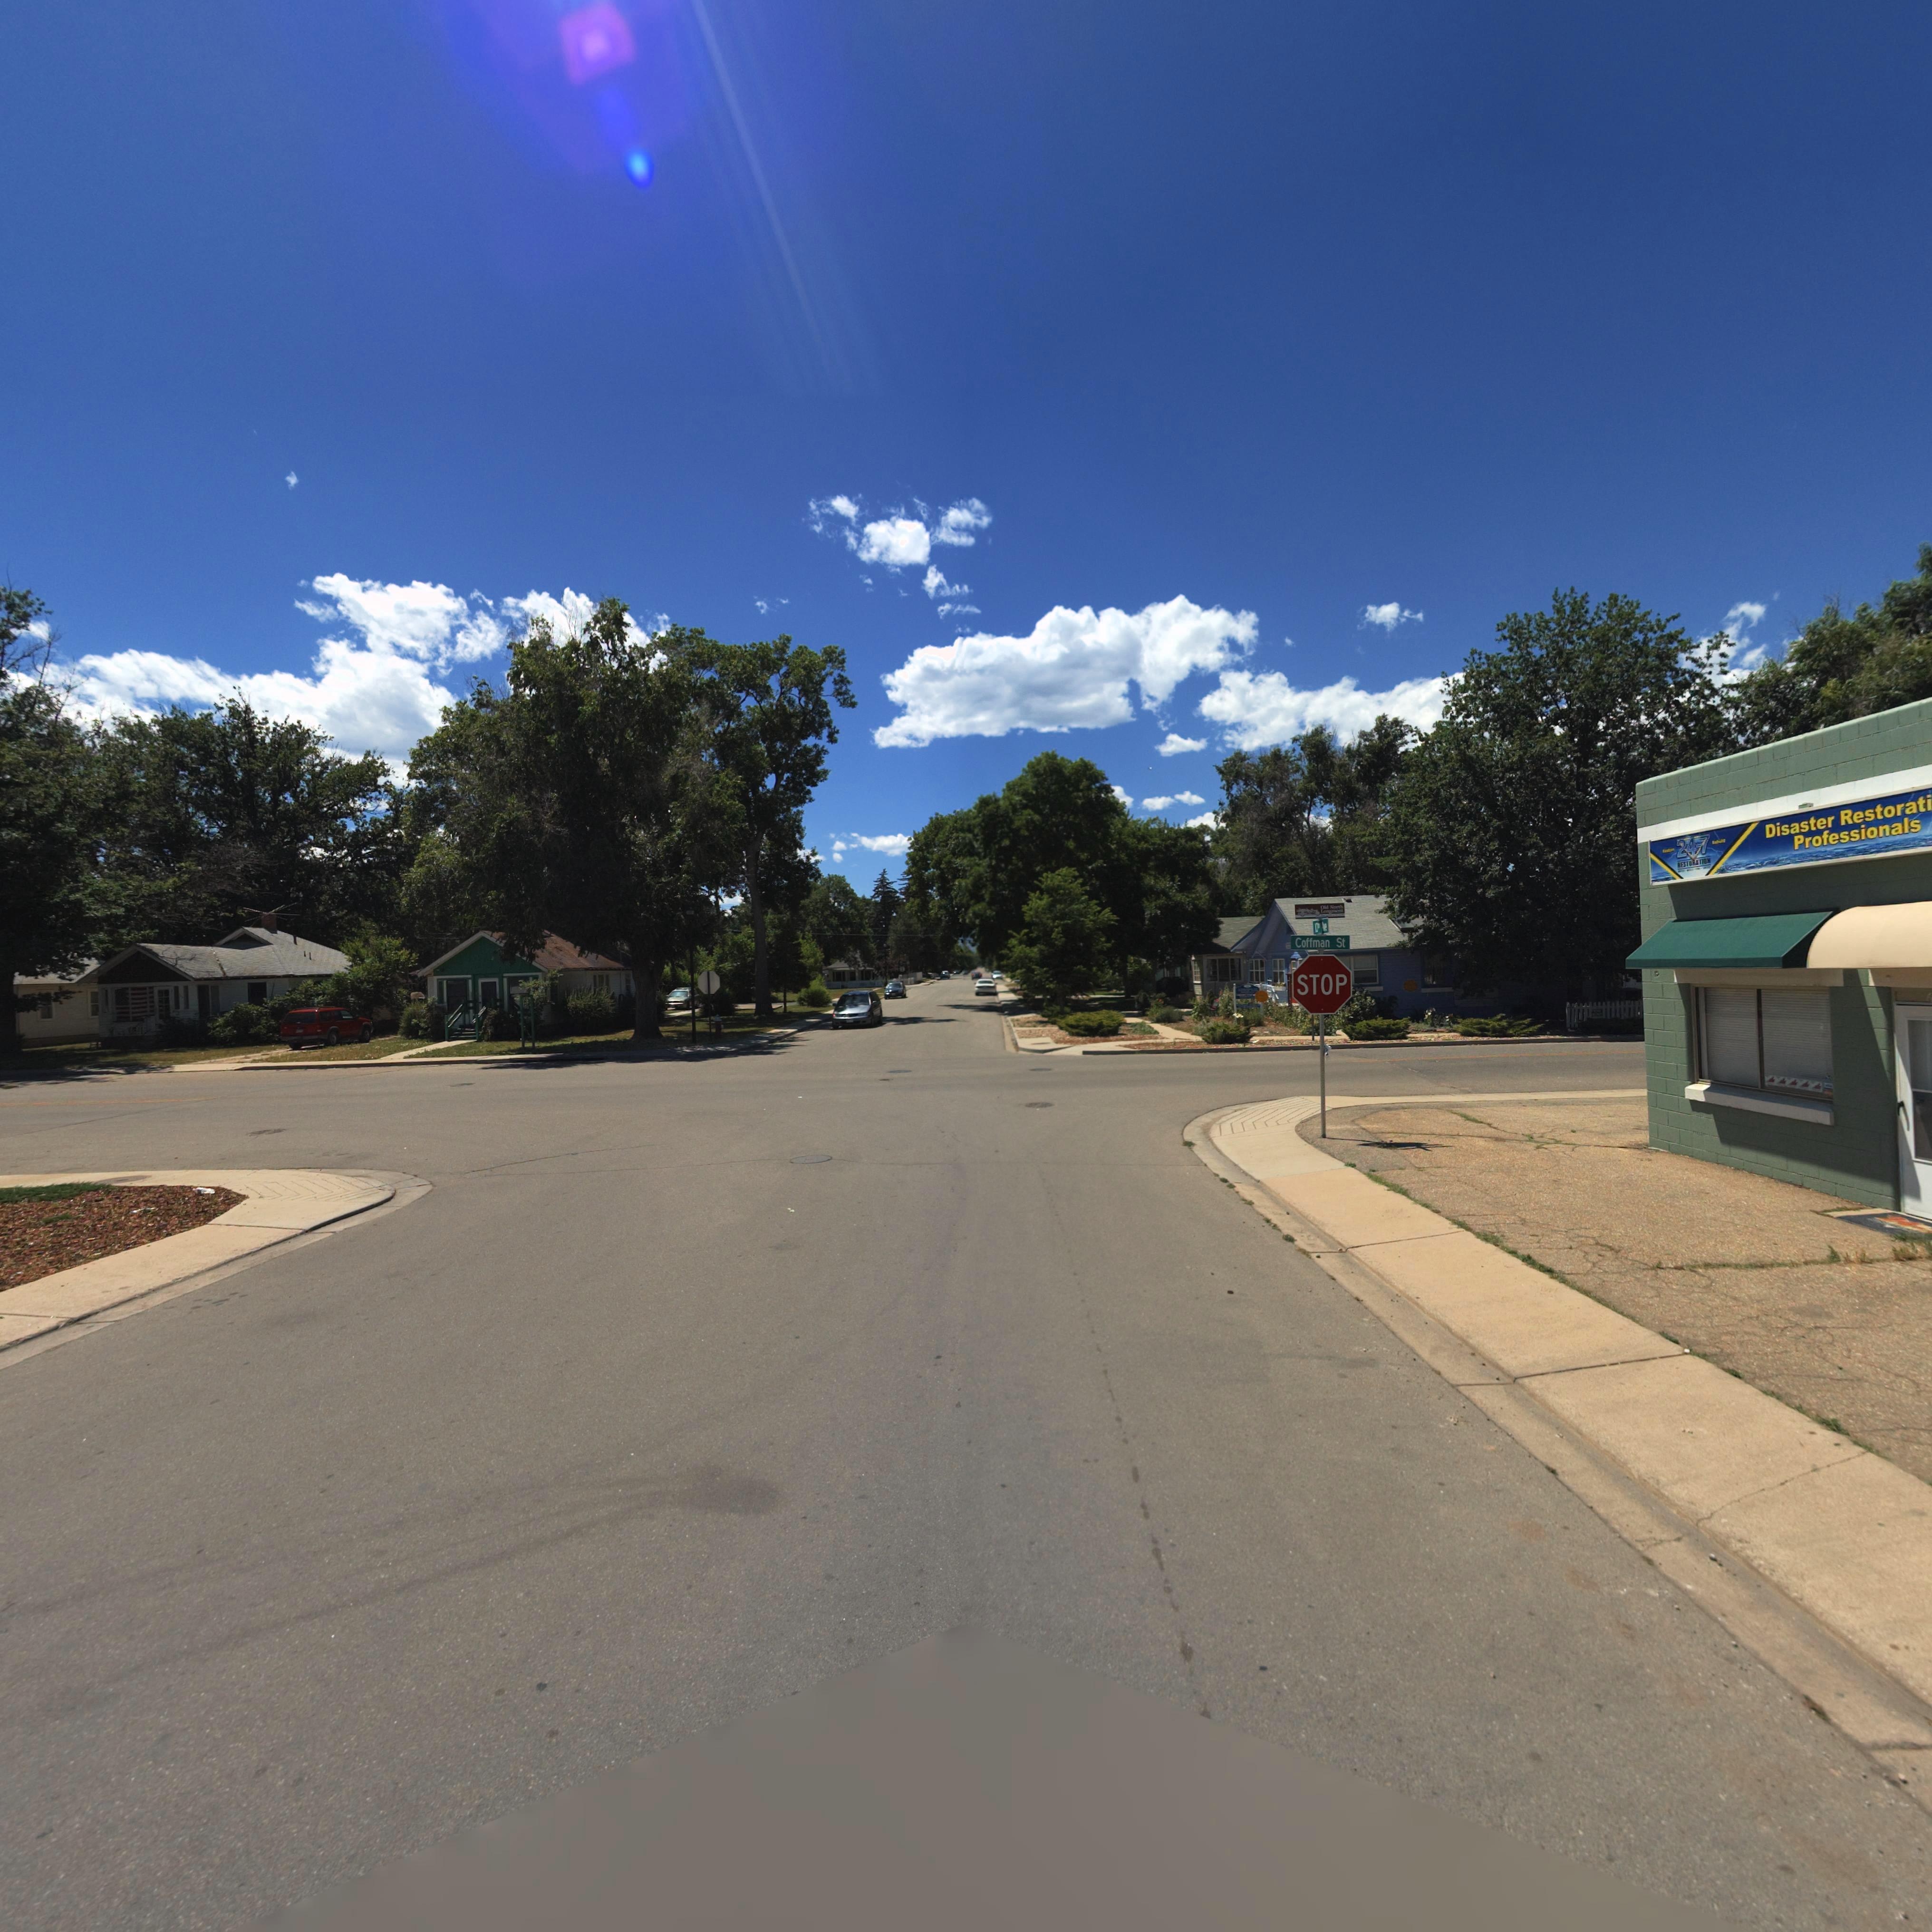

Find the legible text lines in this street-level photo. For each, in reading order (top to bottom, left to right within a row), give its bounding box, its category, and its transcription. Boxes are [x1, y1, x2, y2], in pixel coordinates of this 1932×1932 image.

[1676, 834, 1710, 858] BusinessName: 24-7
[1677, 857, 1710, 868] BusinessName: RESTORATION
[1314, 921, 1327, 932] StreetName: 10* Ave
[1295, 937, 1346, 948] StreetName: Coffman St